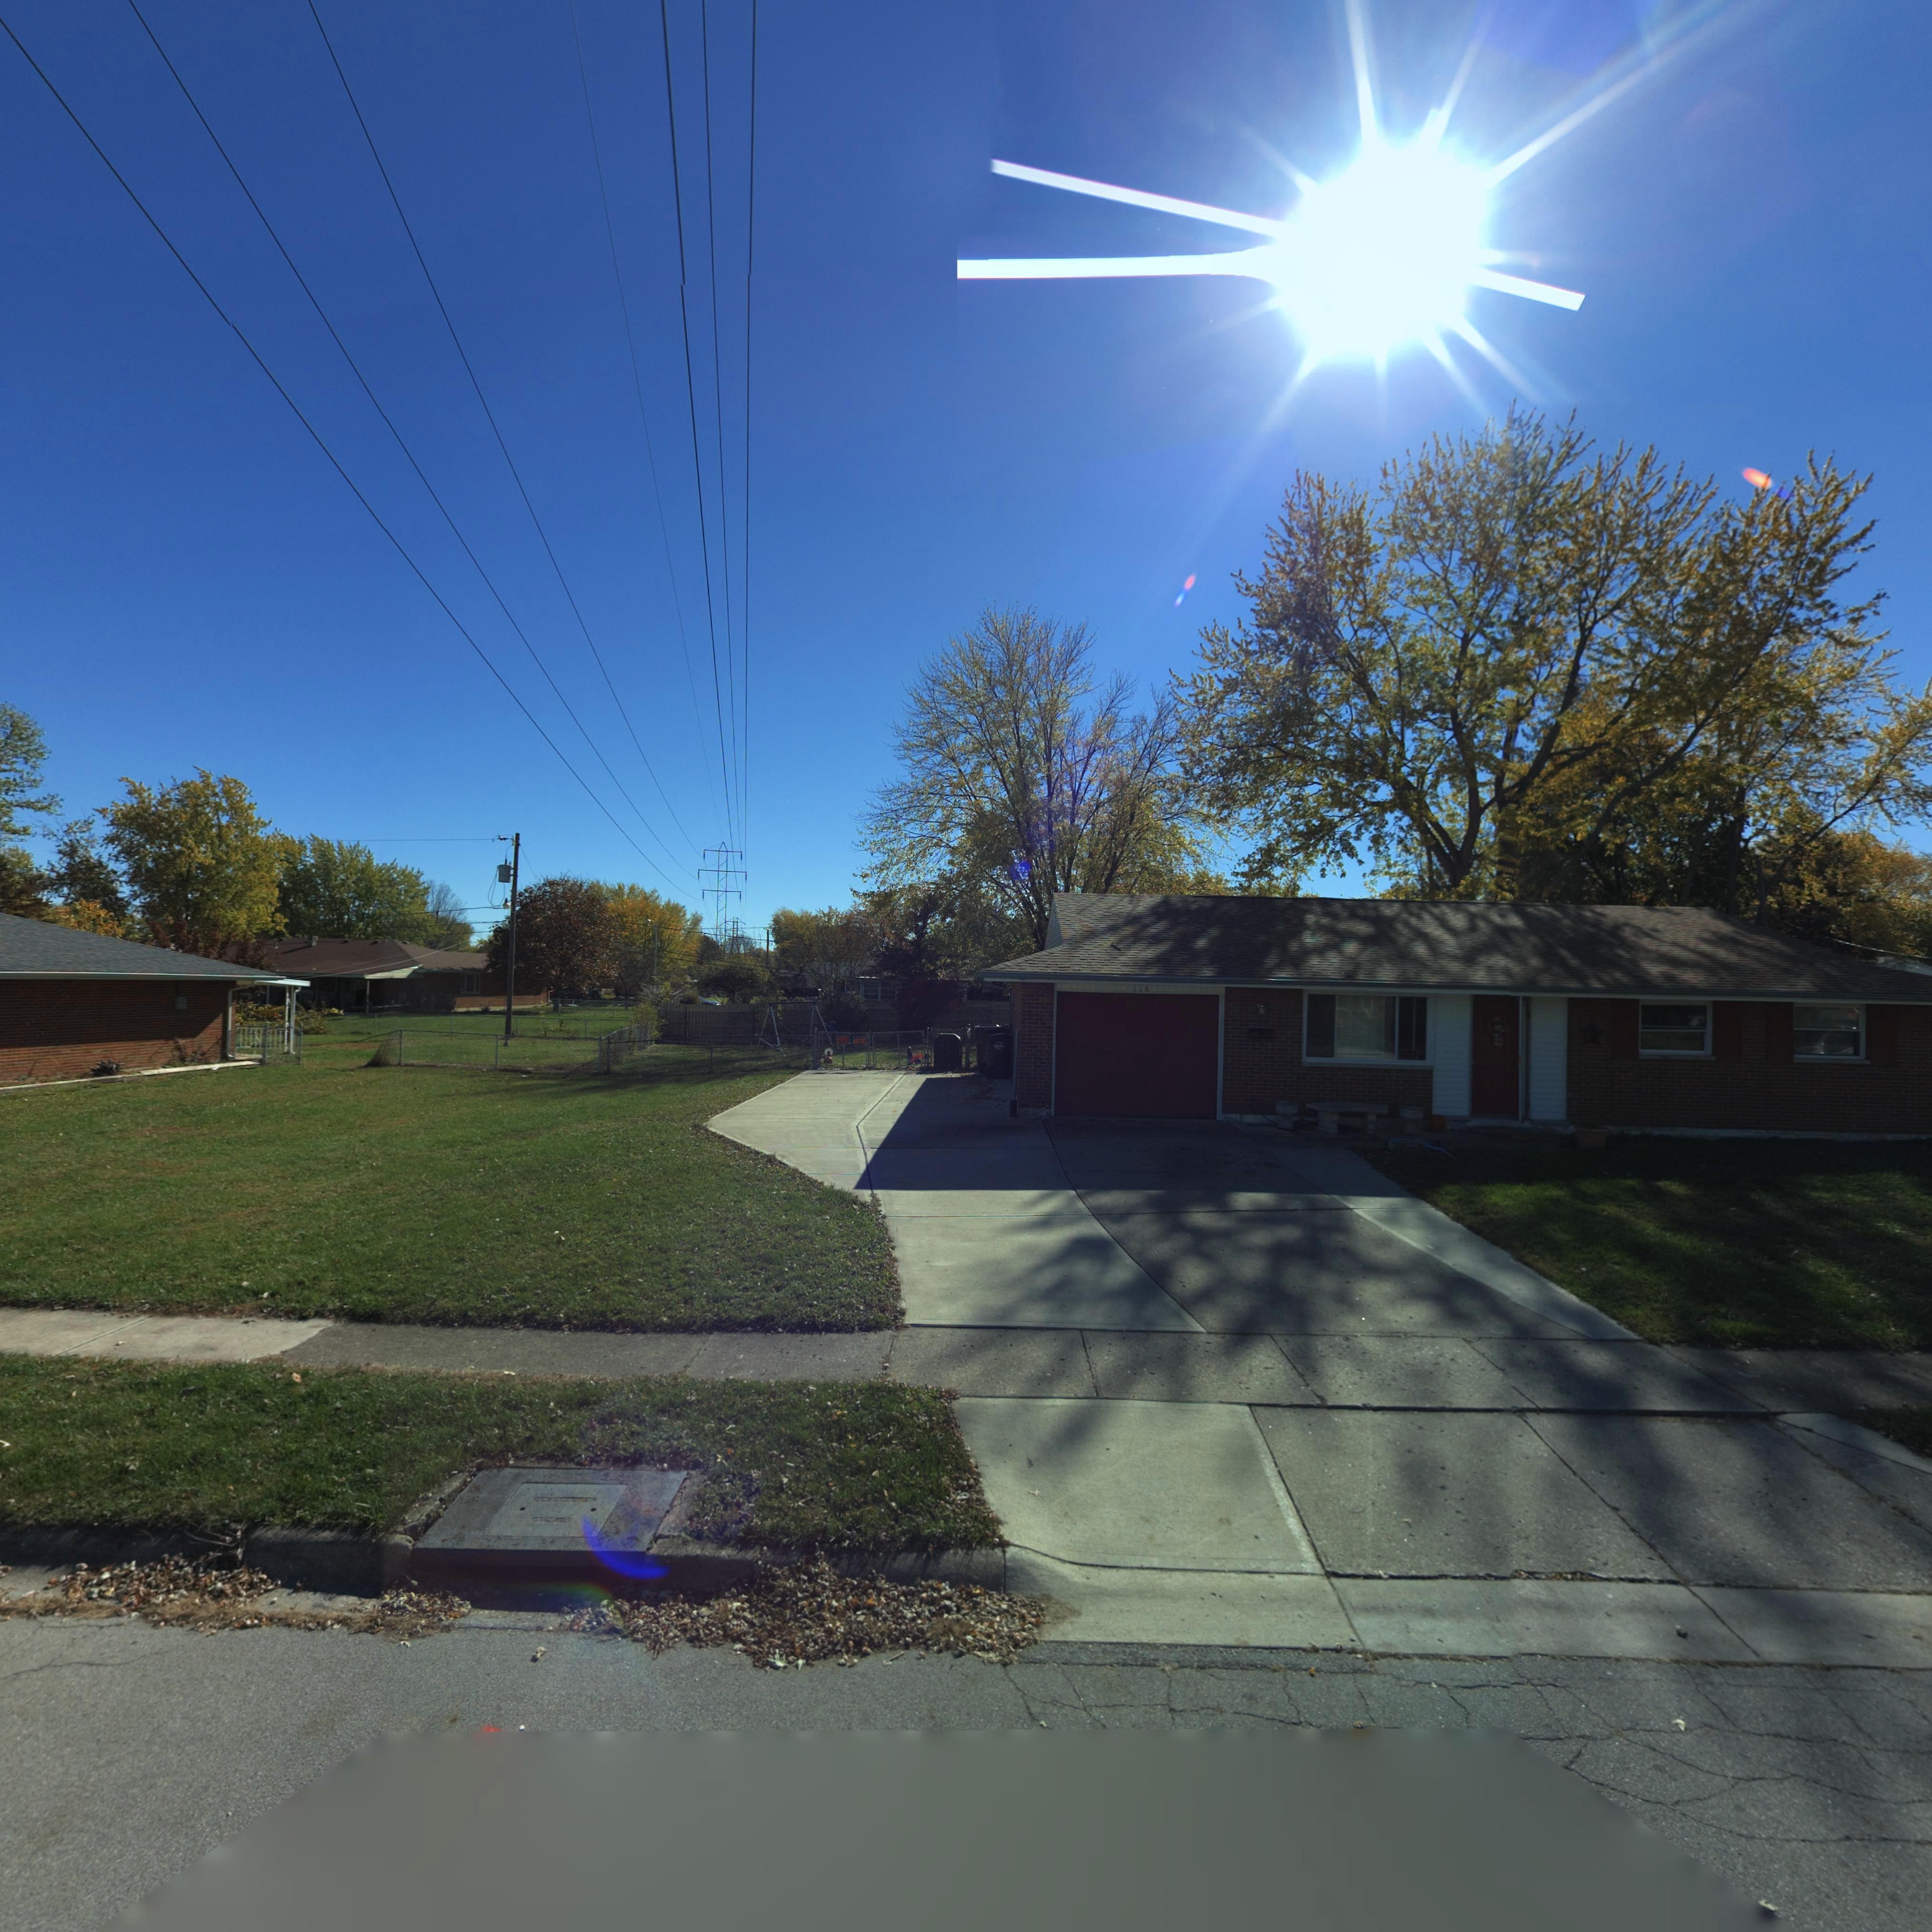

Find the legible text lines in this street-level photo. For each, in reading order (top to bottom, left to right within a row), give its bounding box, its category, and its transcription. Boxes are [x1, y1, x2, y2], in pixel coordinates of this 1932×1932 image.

[1132, 985, 1150, 993] StreetNumber: 116